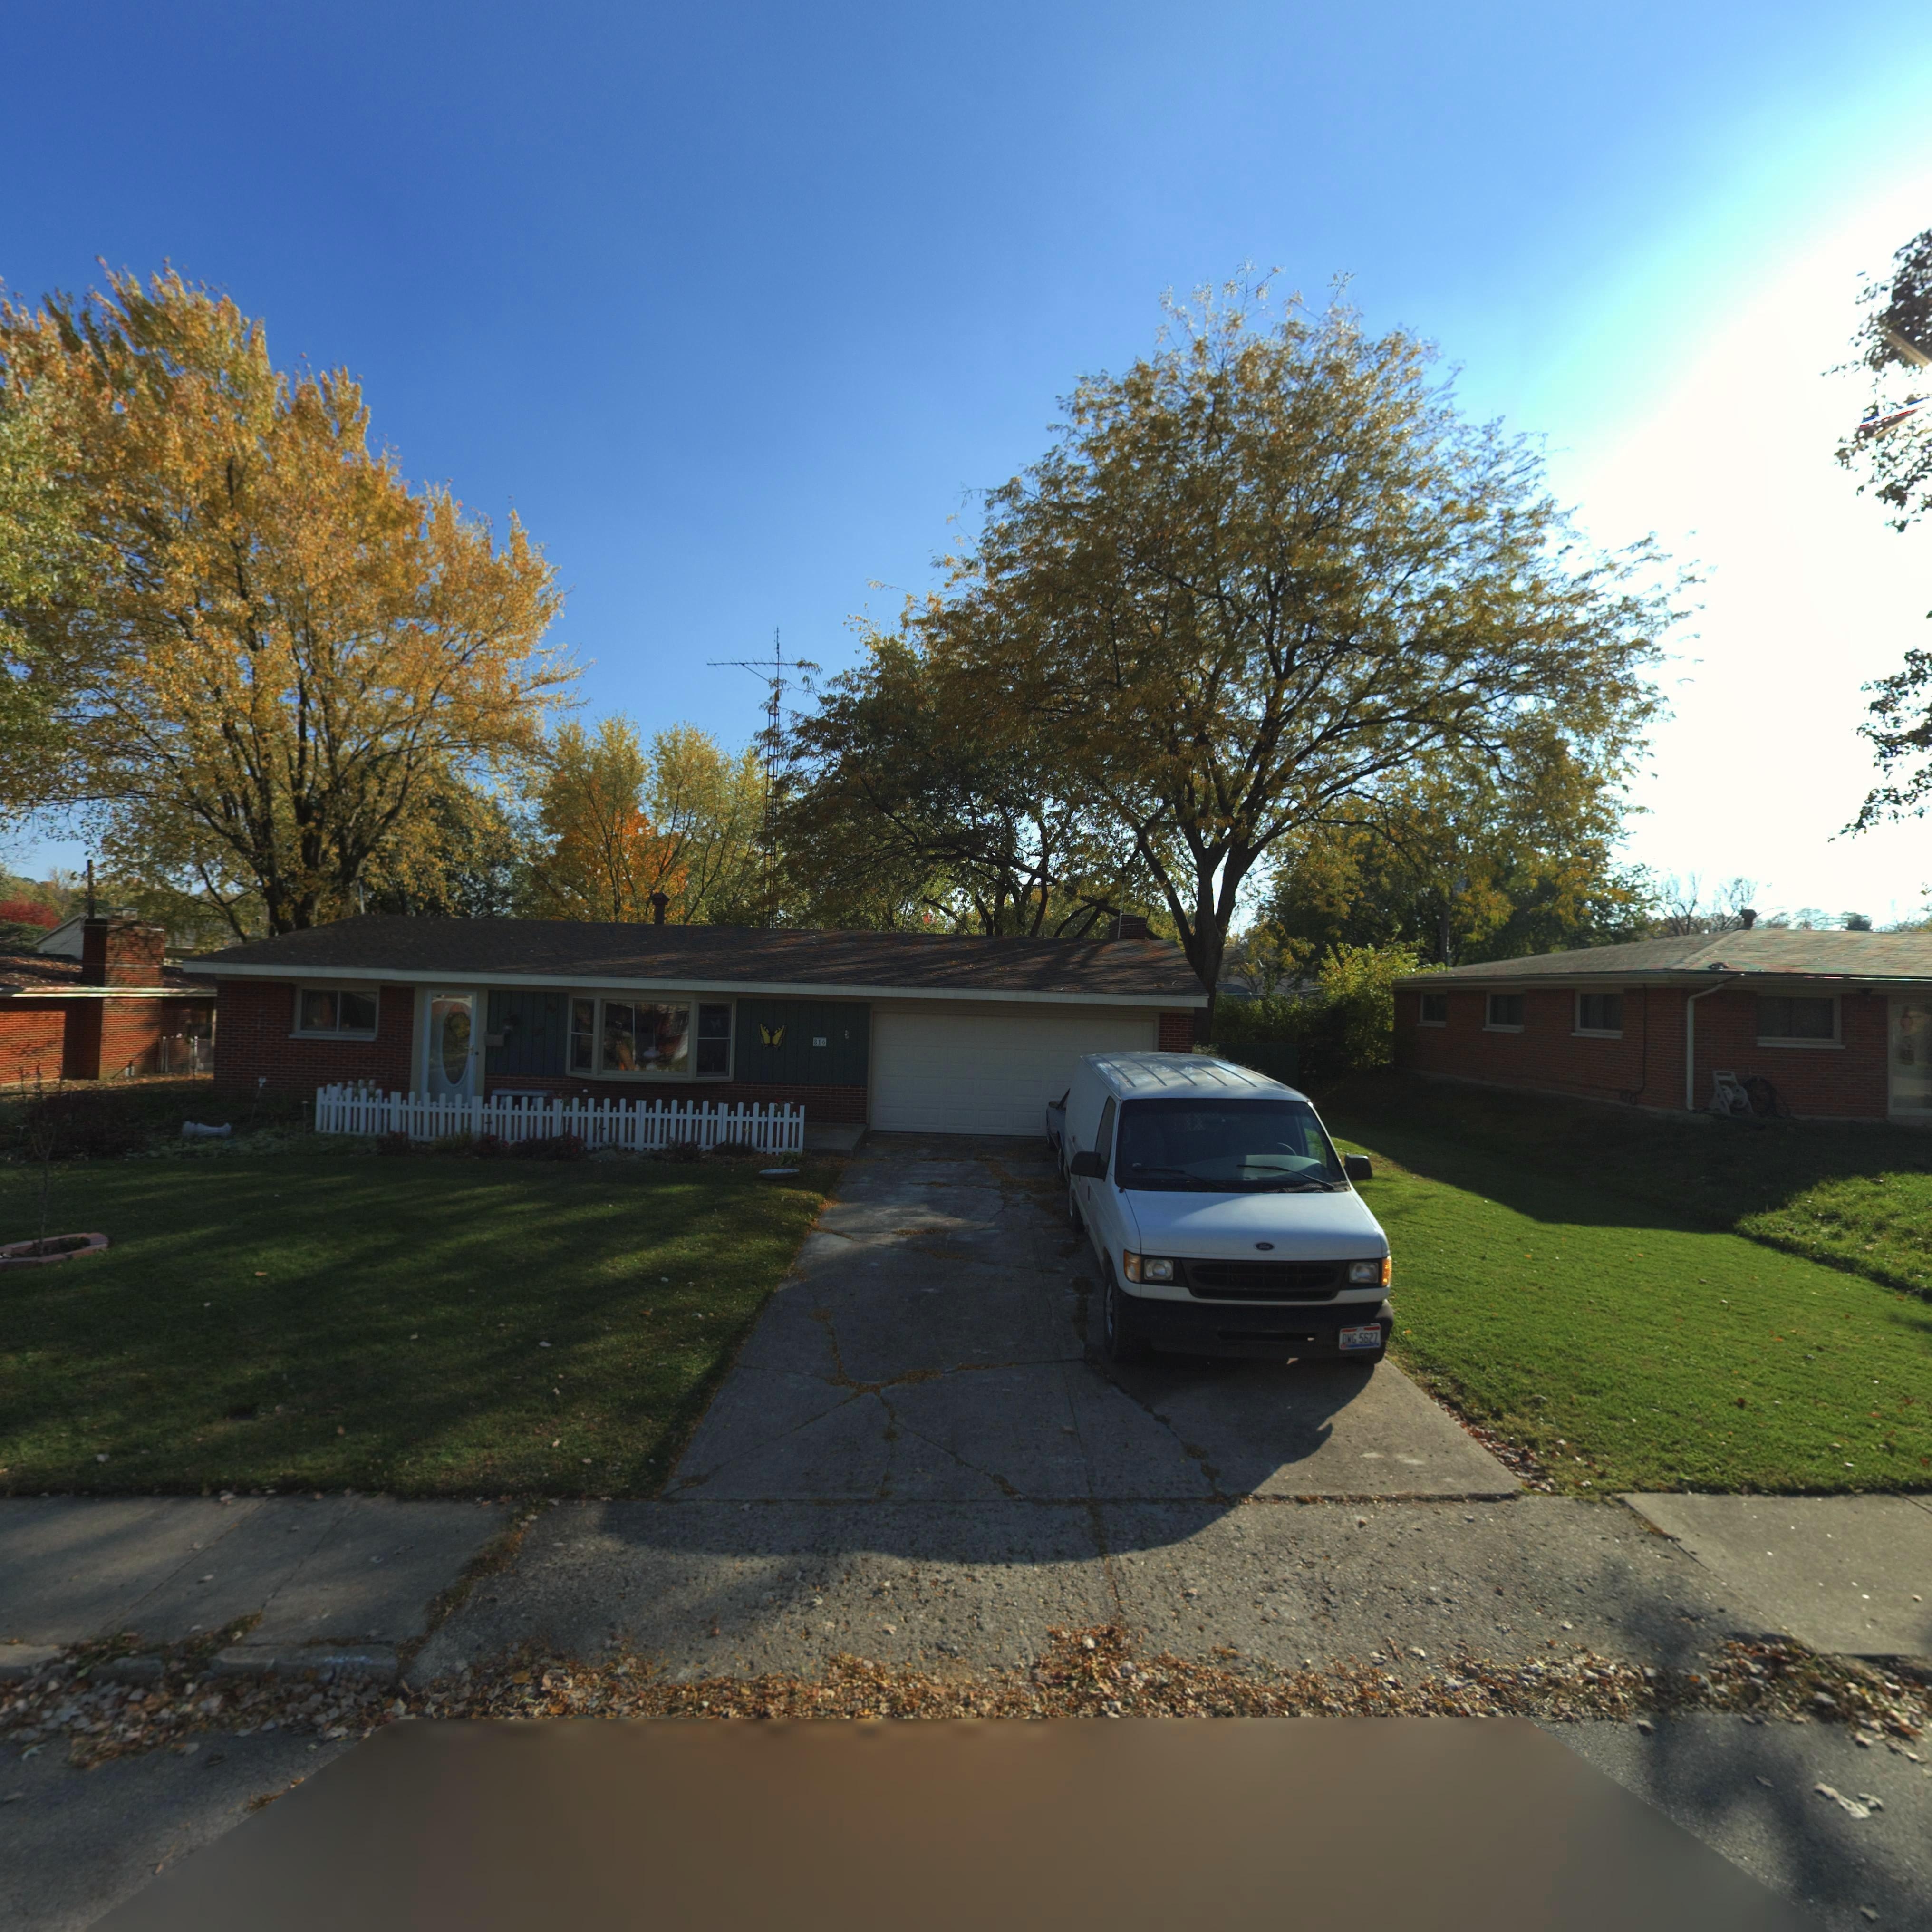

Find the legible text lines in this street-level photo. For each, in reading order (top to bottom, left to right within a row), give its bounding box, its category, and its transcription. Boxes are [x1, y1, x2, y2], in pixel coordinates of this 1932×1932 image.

[814, 1038, 826, 1045] StreetNumber: 816